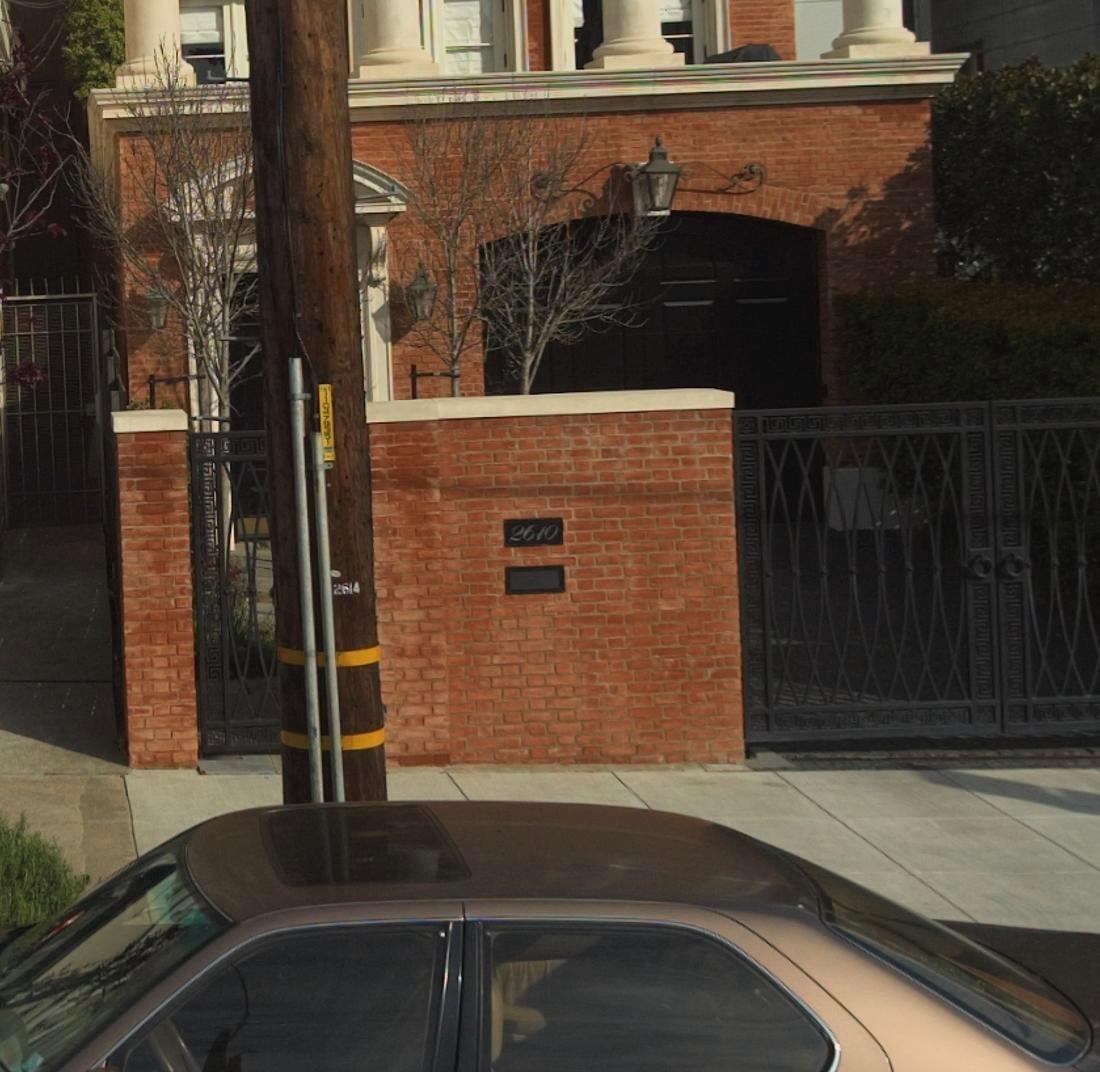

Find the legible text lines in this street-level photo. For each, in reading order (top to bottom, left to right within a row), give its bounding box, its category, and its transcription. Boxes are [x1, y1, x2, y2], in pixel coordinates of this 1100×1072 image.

[507, 521, 561, 544] StreetNumber: 2610
[330, 579, 362, 597] None: 2614